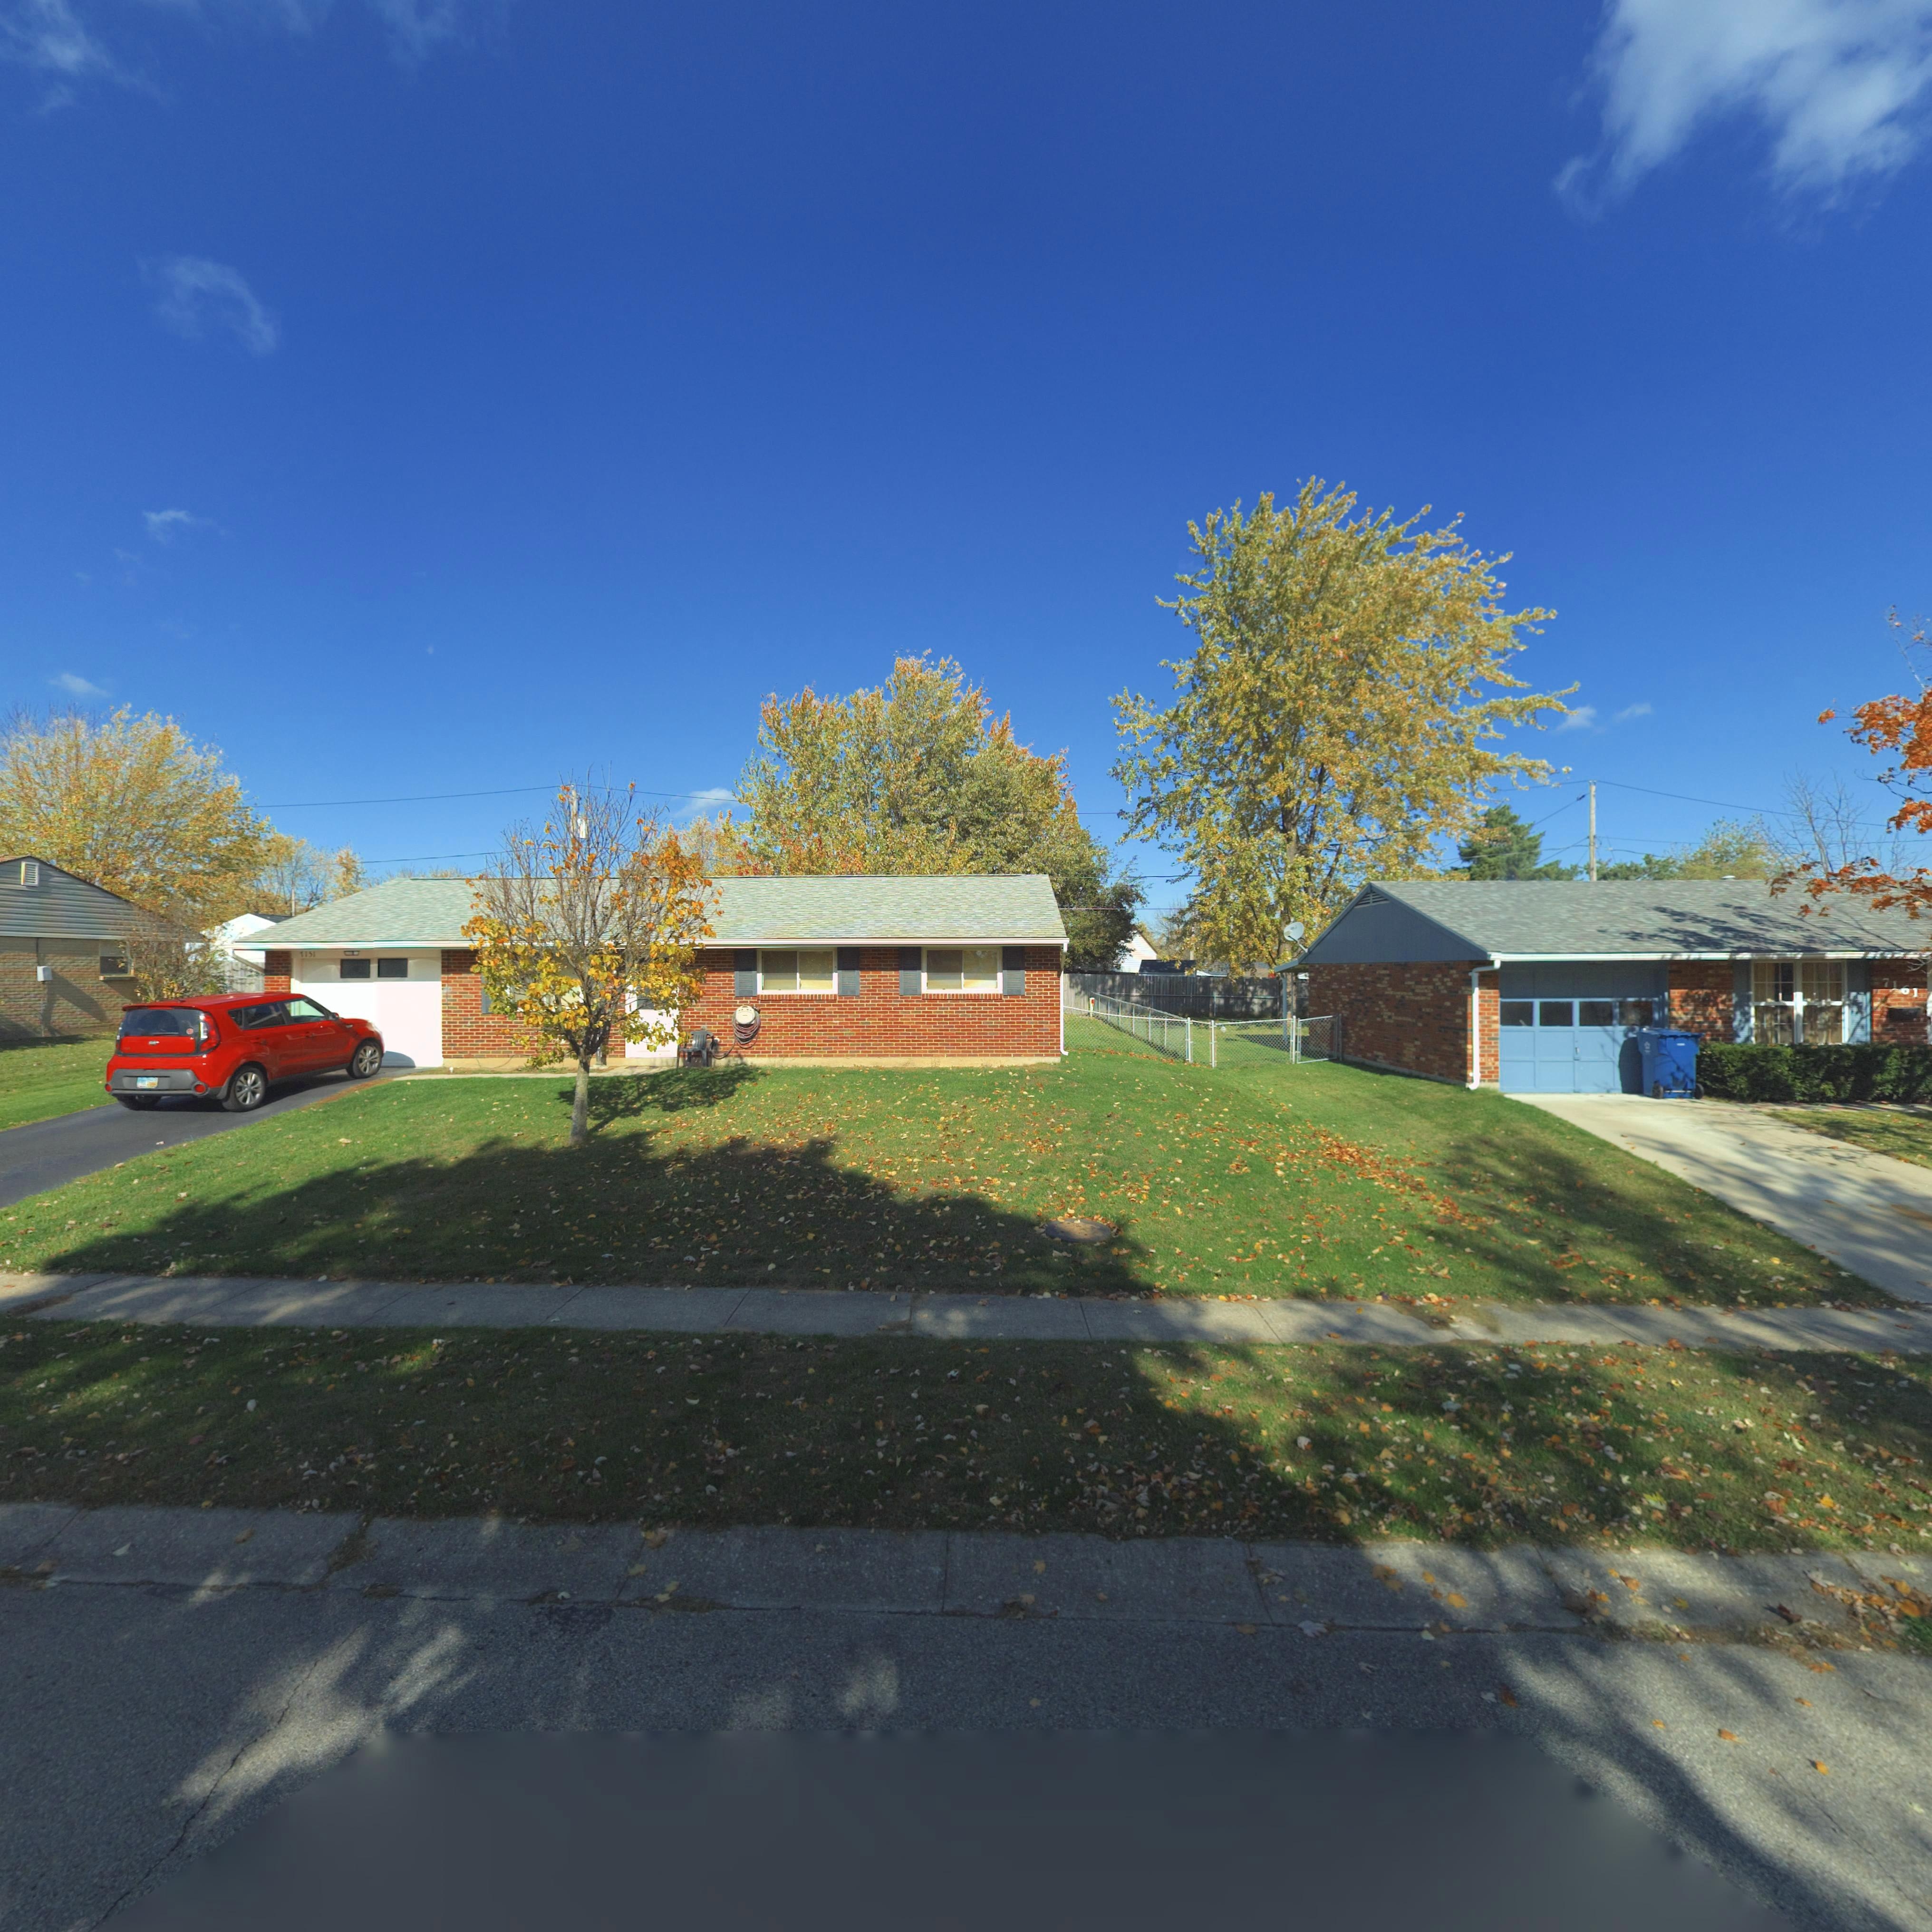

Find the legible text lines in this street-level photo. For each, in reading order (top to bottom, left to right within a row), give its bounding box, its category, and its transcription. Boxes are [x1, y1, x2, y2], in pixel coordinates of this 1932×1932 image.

[299, 950, 317, 958] StreetNumber: 71*1
[1882, 976, 1920, 999] StreetNumber: 7161
[596, 1050, 600, 1057] StreetNumber: 1